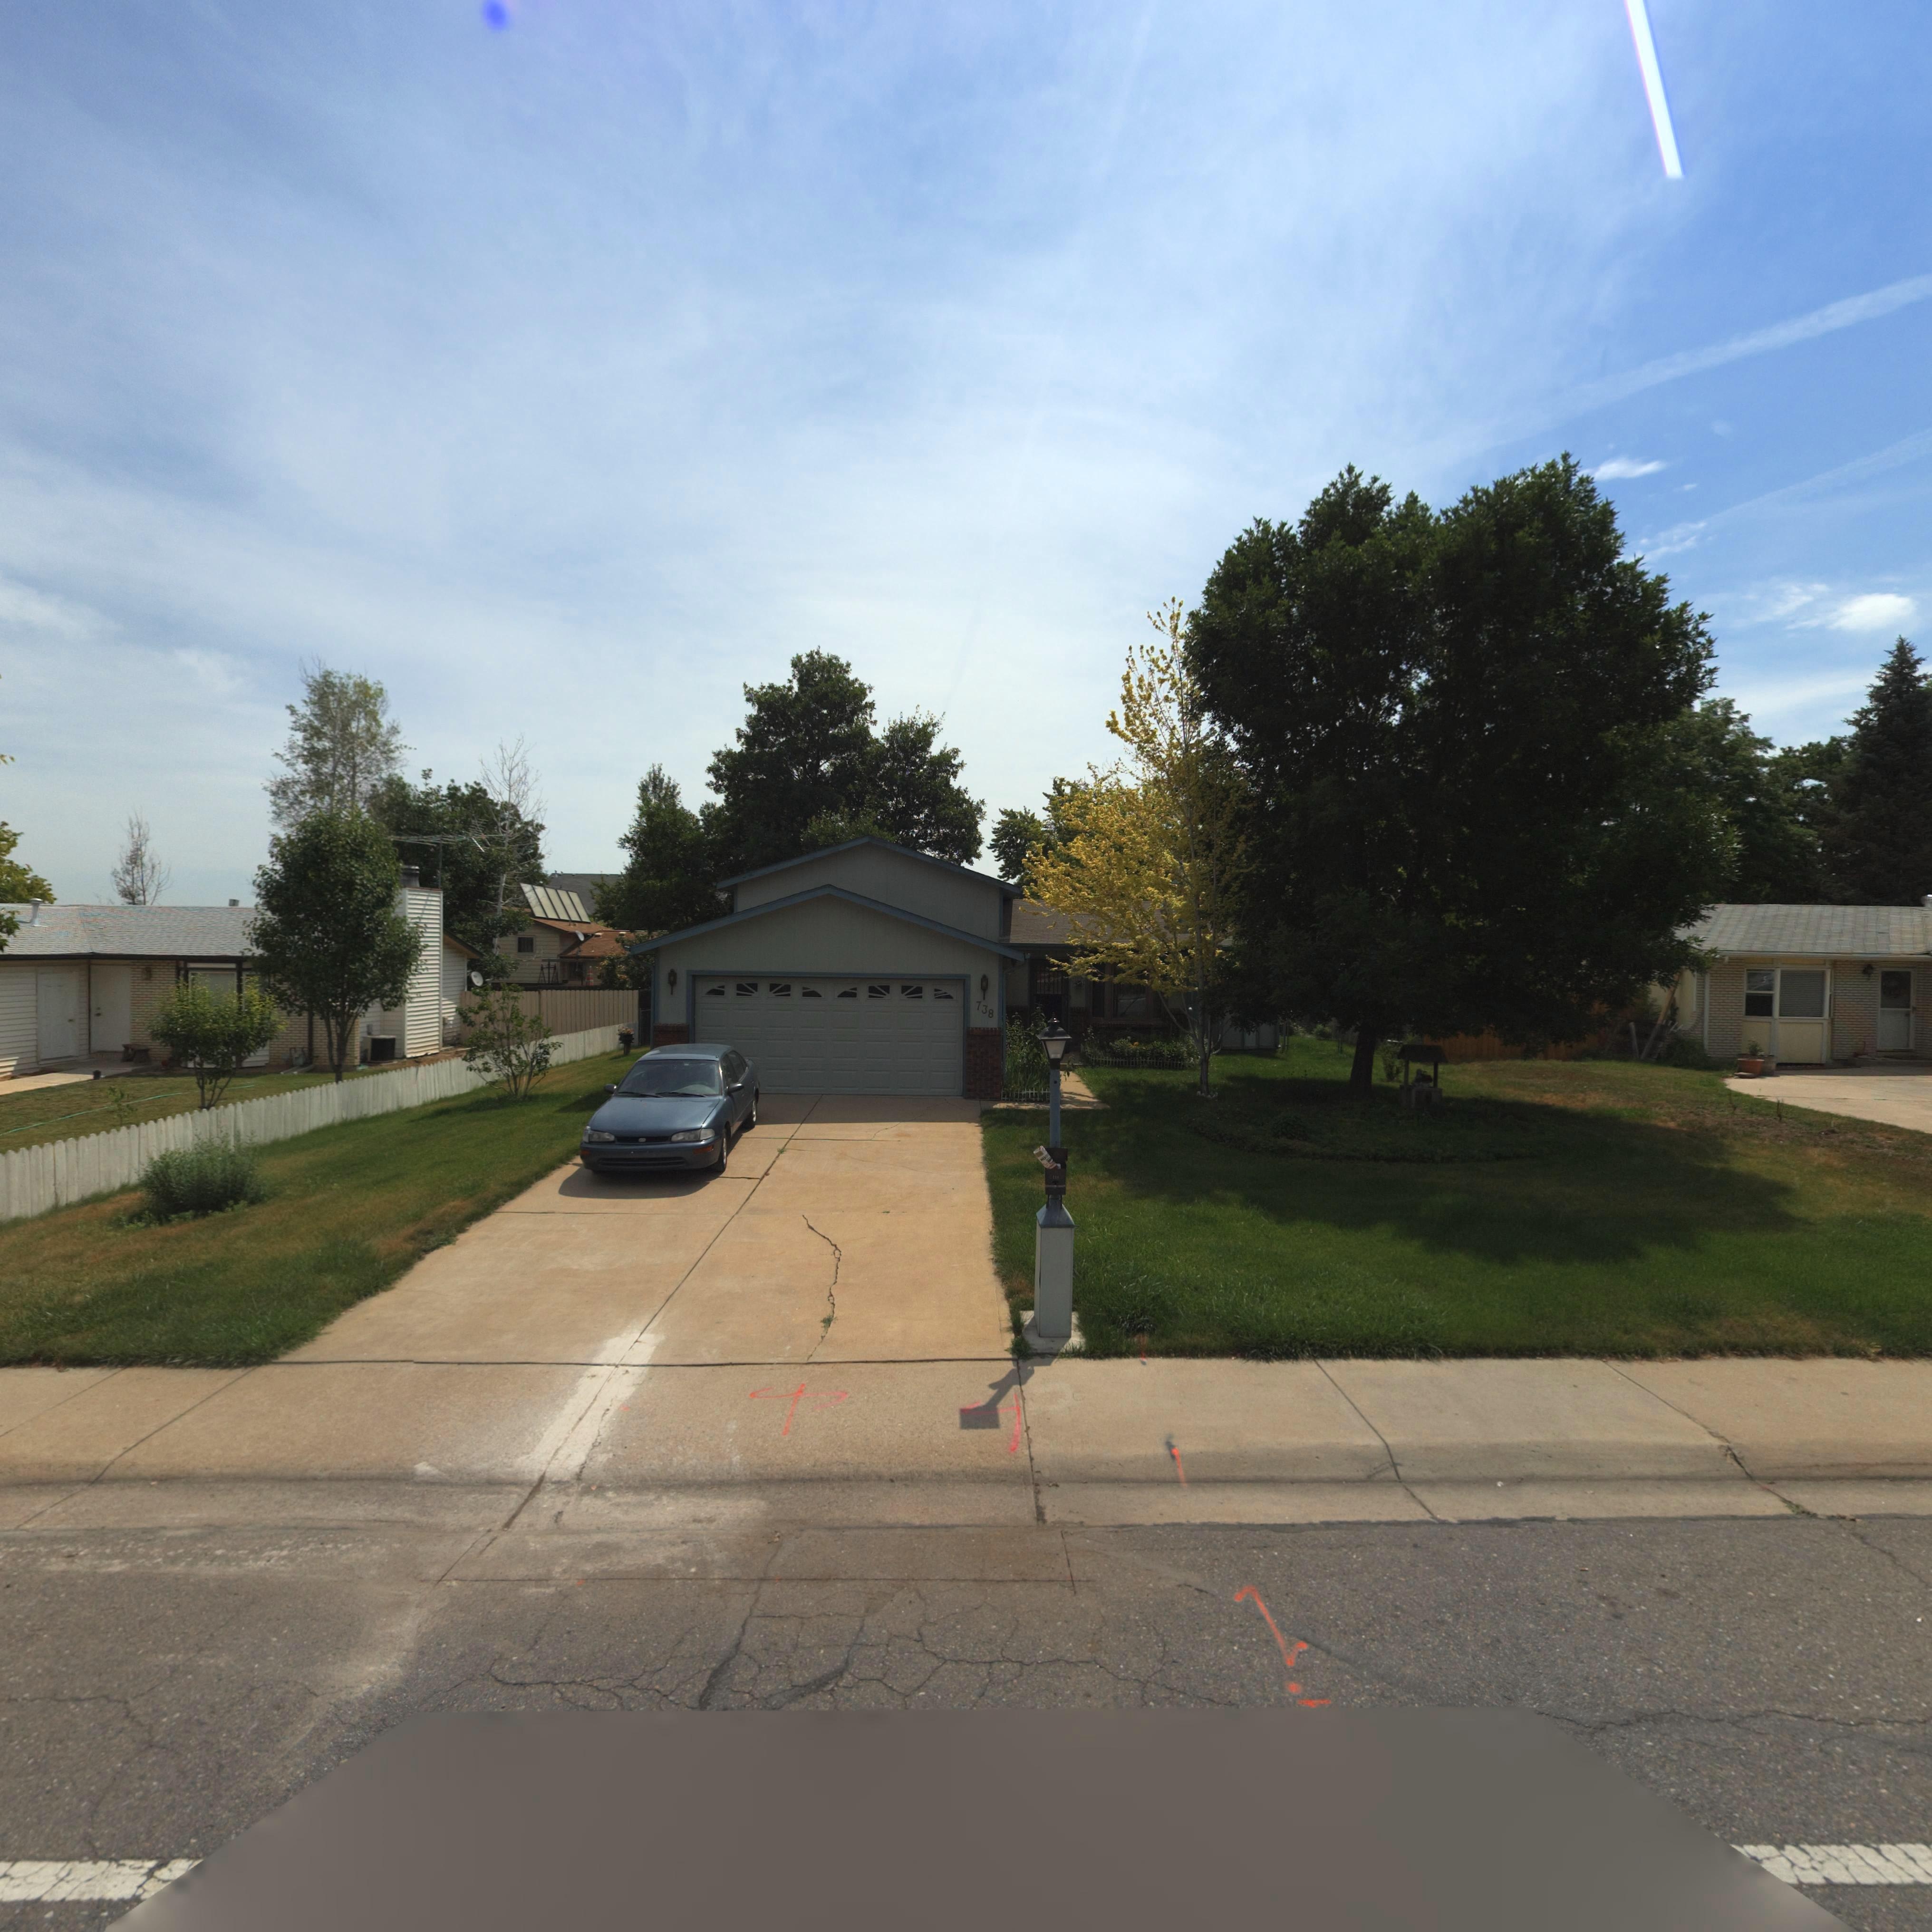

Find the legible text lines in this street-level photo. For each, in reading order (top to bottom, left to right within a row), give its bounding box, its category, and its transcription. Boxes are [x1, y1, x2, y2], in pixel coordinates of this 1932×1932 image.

[976, 1001, 994, 1018] StreetNumber: 738